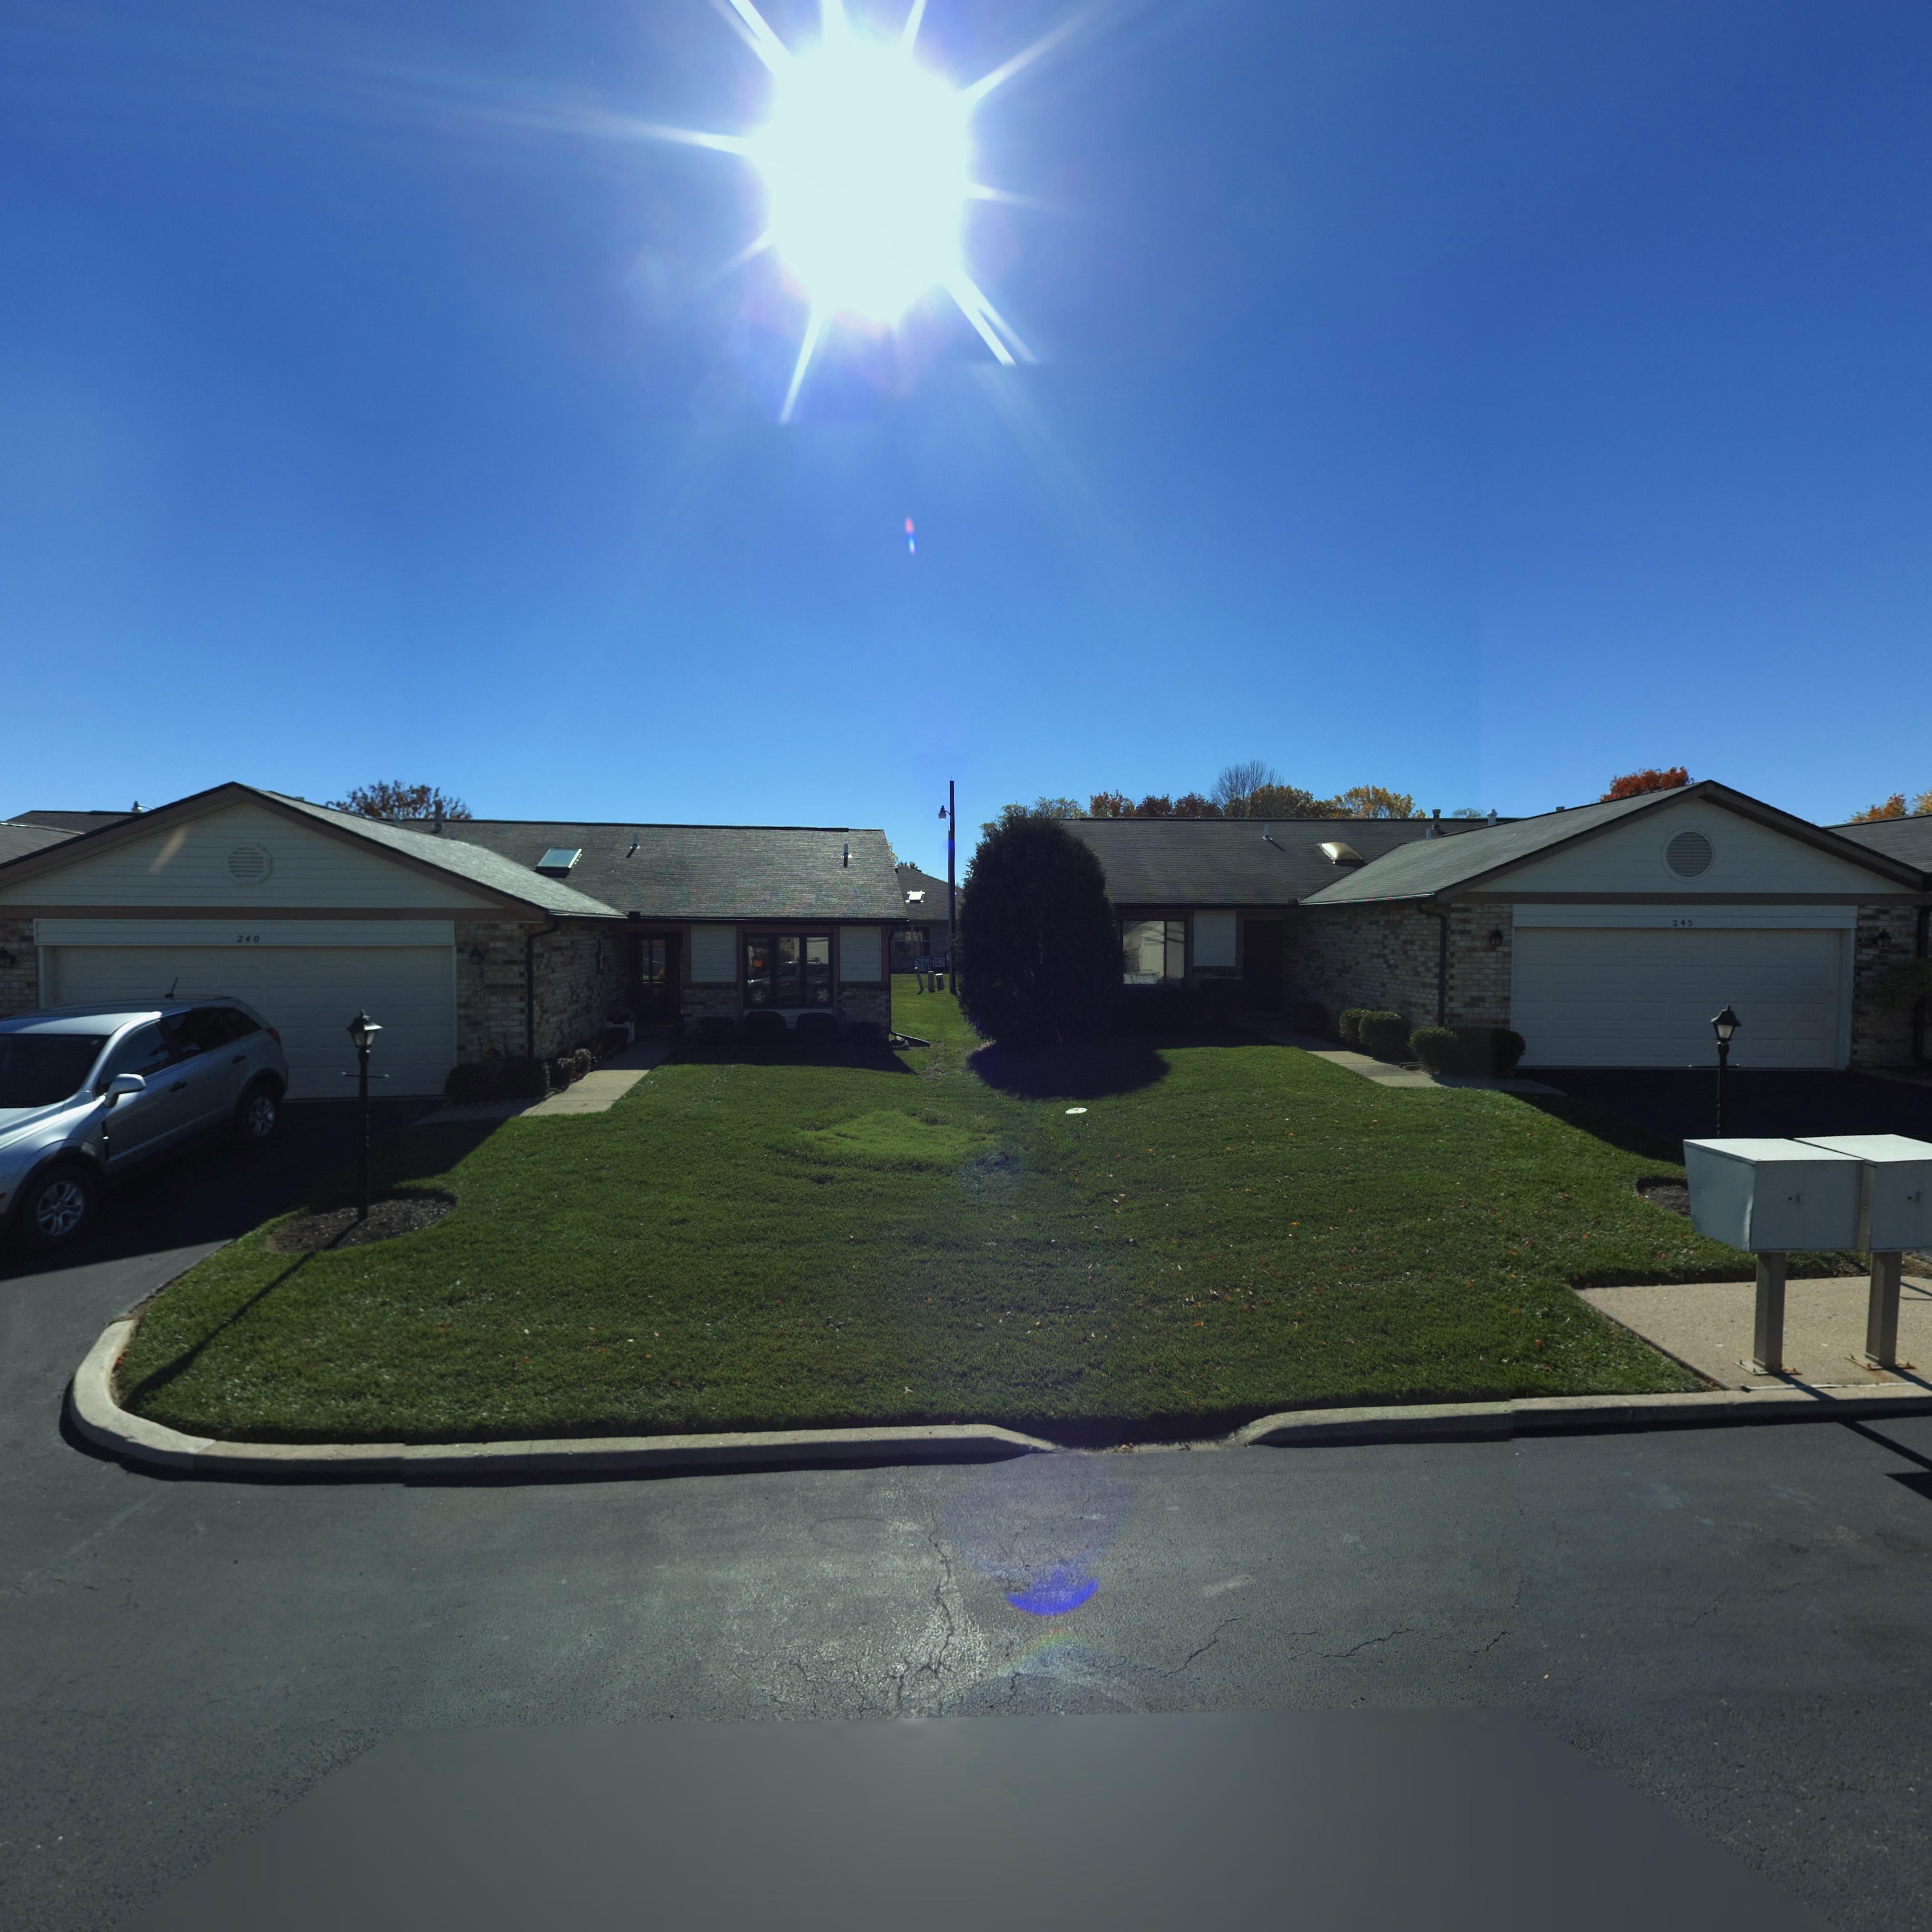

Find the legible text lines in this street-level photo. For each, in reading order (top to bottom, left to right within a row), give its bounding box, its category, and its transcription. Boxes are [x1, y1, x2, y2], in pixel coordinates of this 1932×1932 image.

[1671, 918, 1694, 927] StreetNumber: 245
[235, 934, 261, 944] StreetNumber: 240